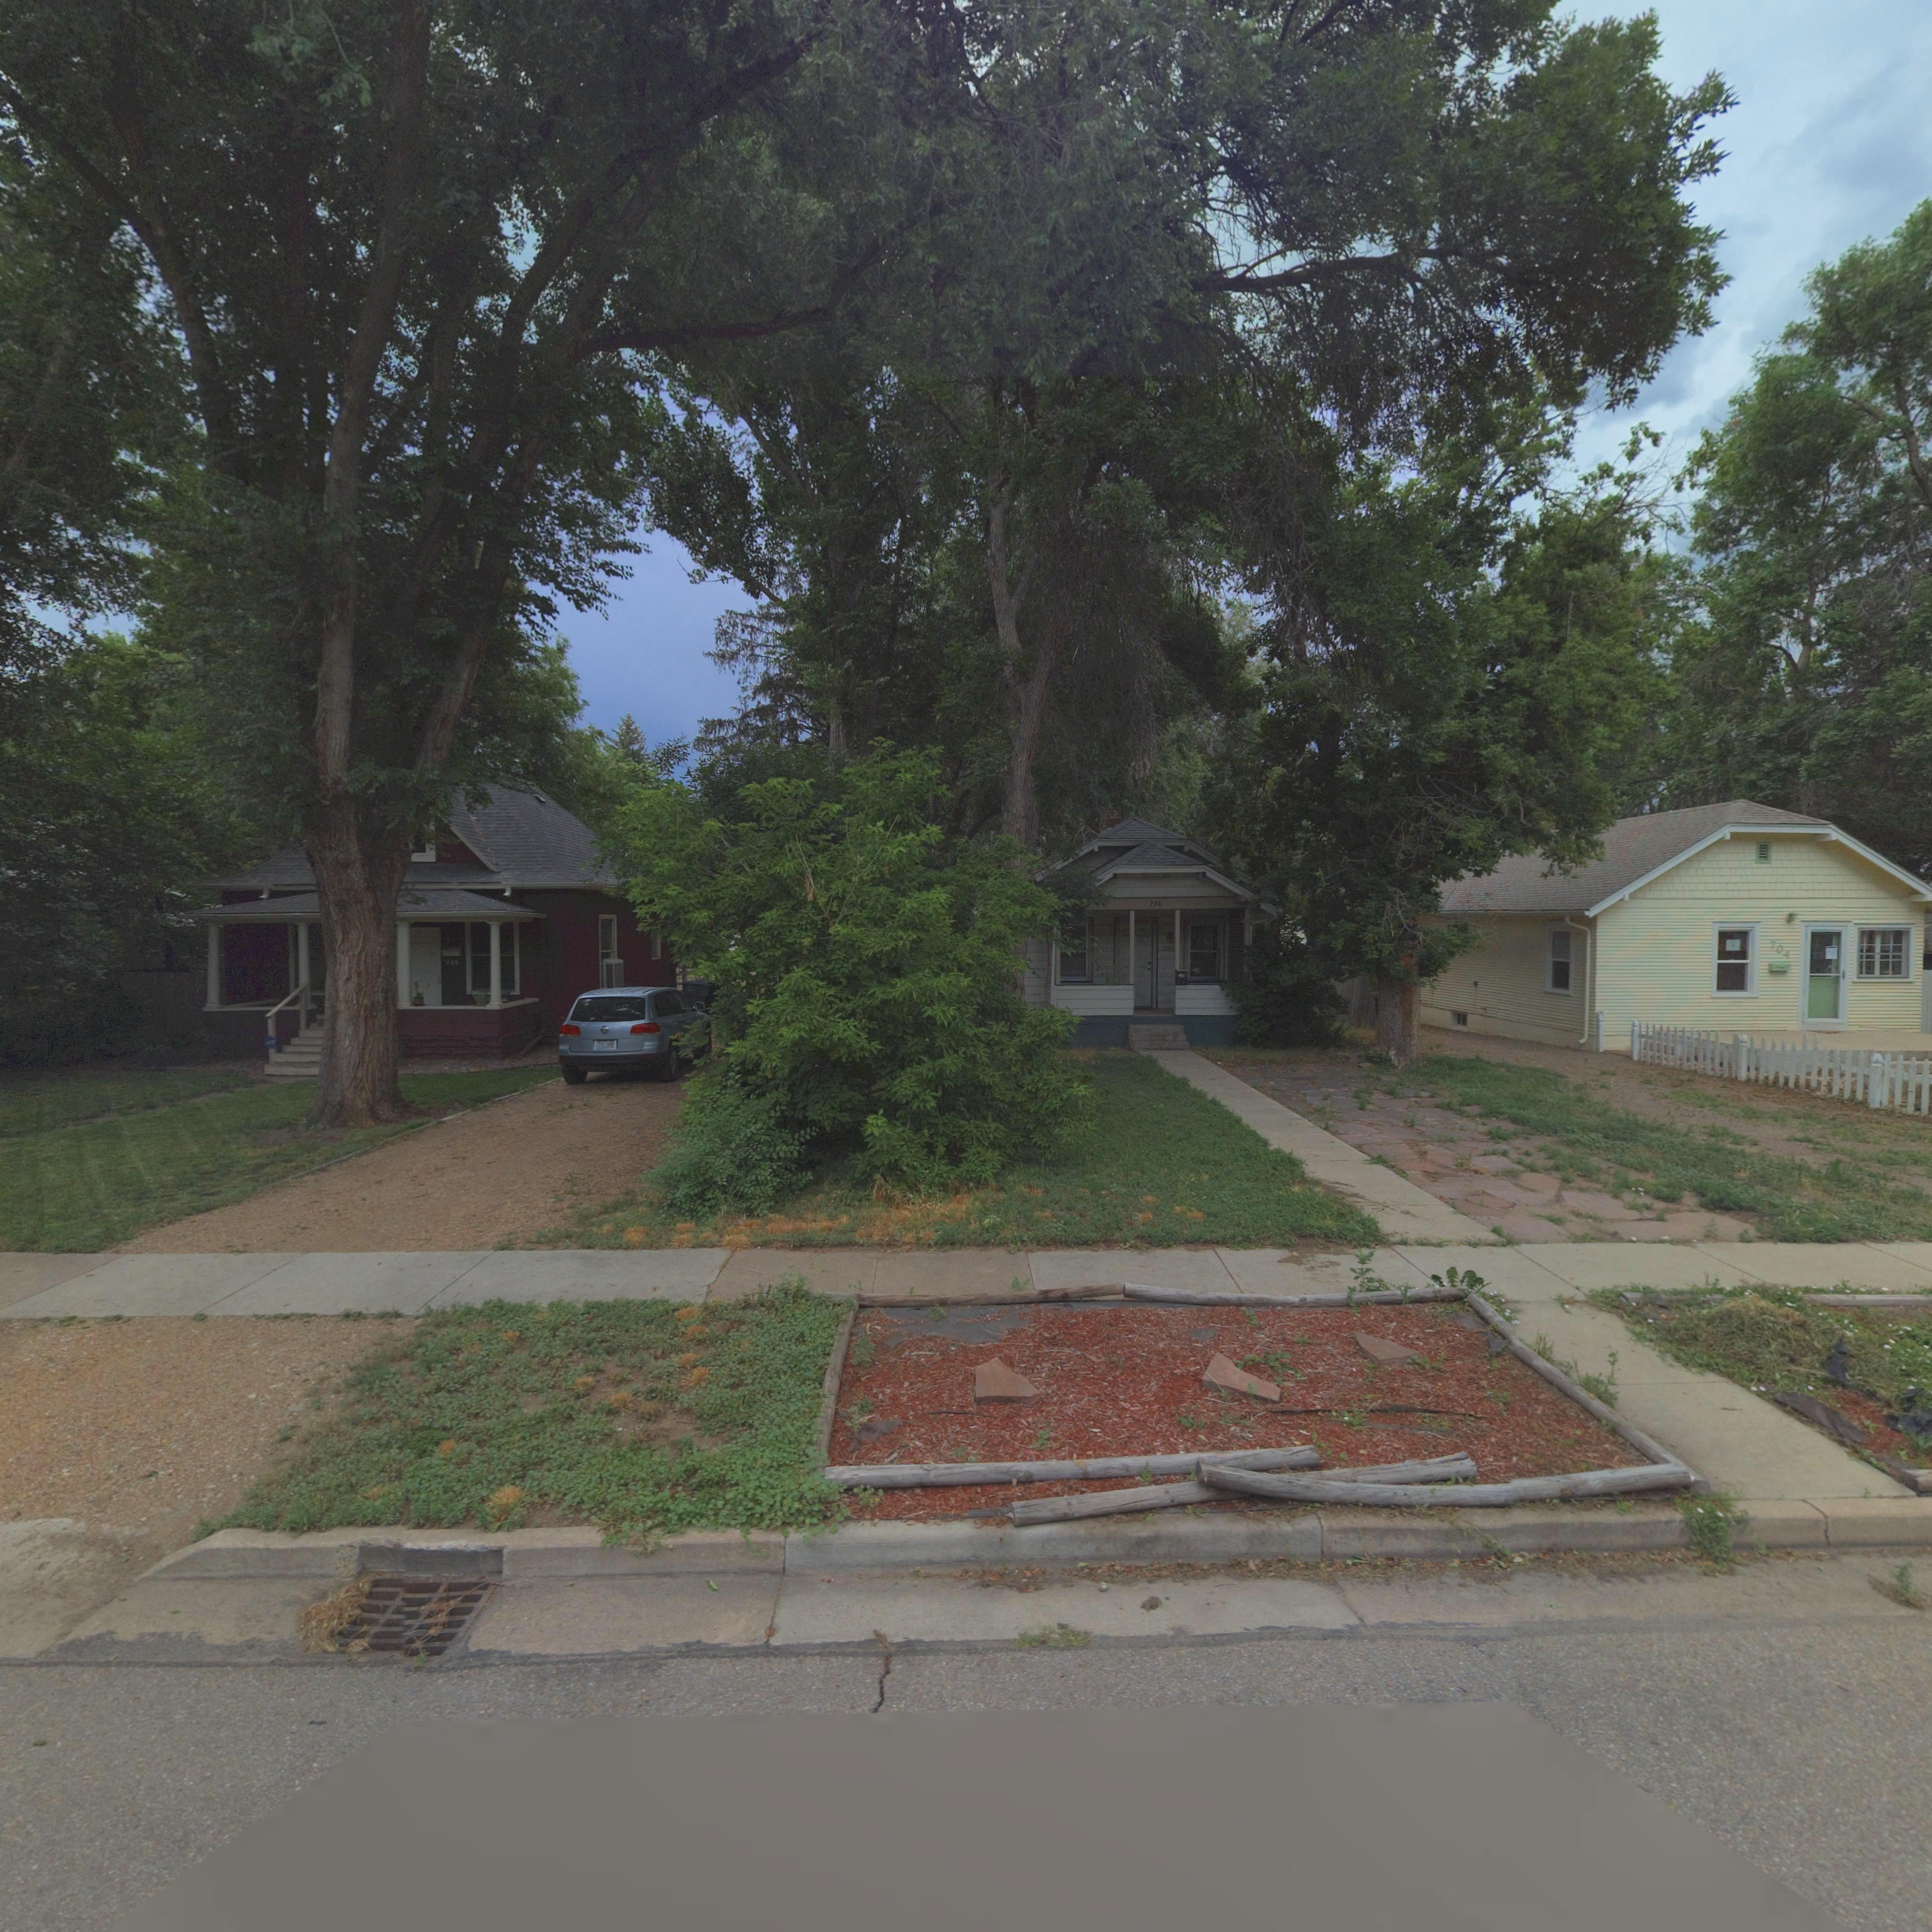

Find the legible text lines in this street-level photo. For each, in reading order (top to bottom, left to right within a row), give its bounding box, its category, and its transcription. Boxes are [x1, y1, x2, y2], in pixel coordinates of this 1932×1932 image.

[1149, 900, 1161, 907] StreetNumber: 706
[1161, 945, 1175, 952] StreetNumber: 706
[1769, 940, 1790, 959] StreetNumber: 704
[444, 960, 459, 965] StreetNumber: 7*6